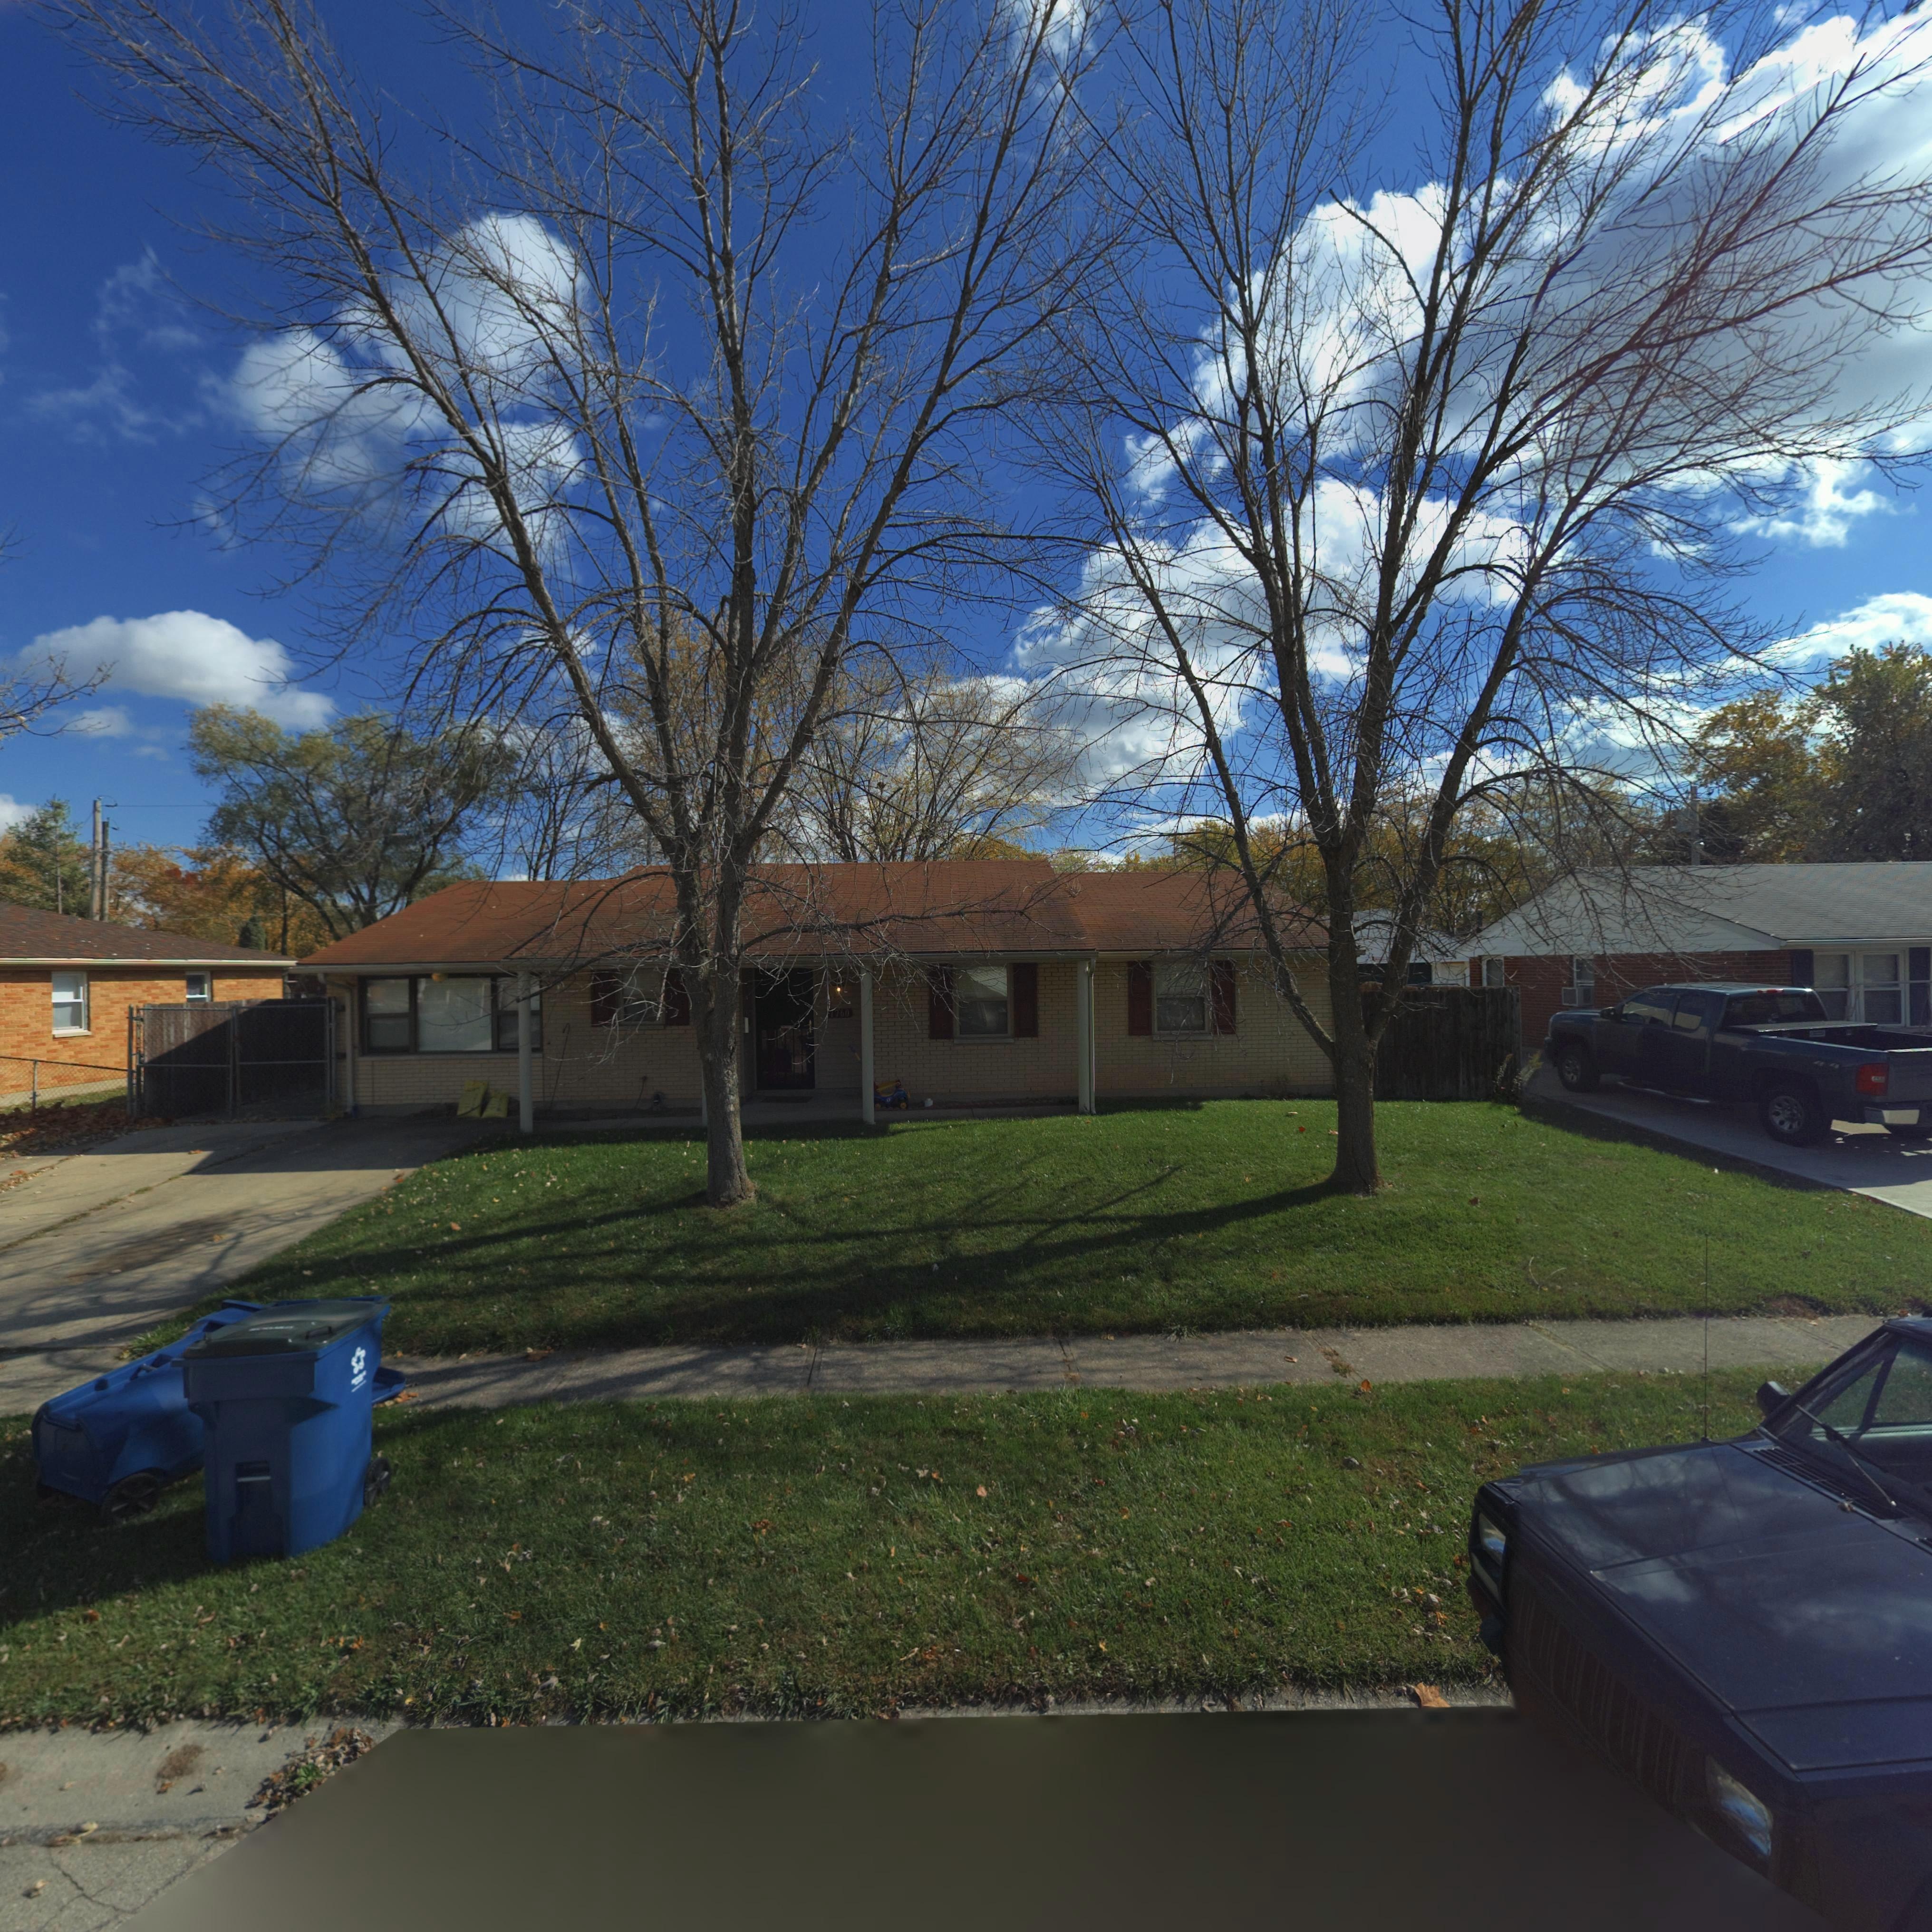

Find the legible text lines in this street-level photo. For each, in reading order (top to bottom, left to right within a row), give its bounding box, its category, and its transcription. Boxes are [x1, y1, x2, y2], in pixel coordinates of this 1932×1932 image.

[829, 1008, 850, 1017] StreetNumber: *760